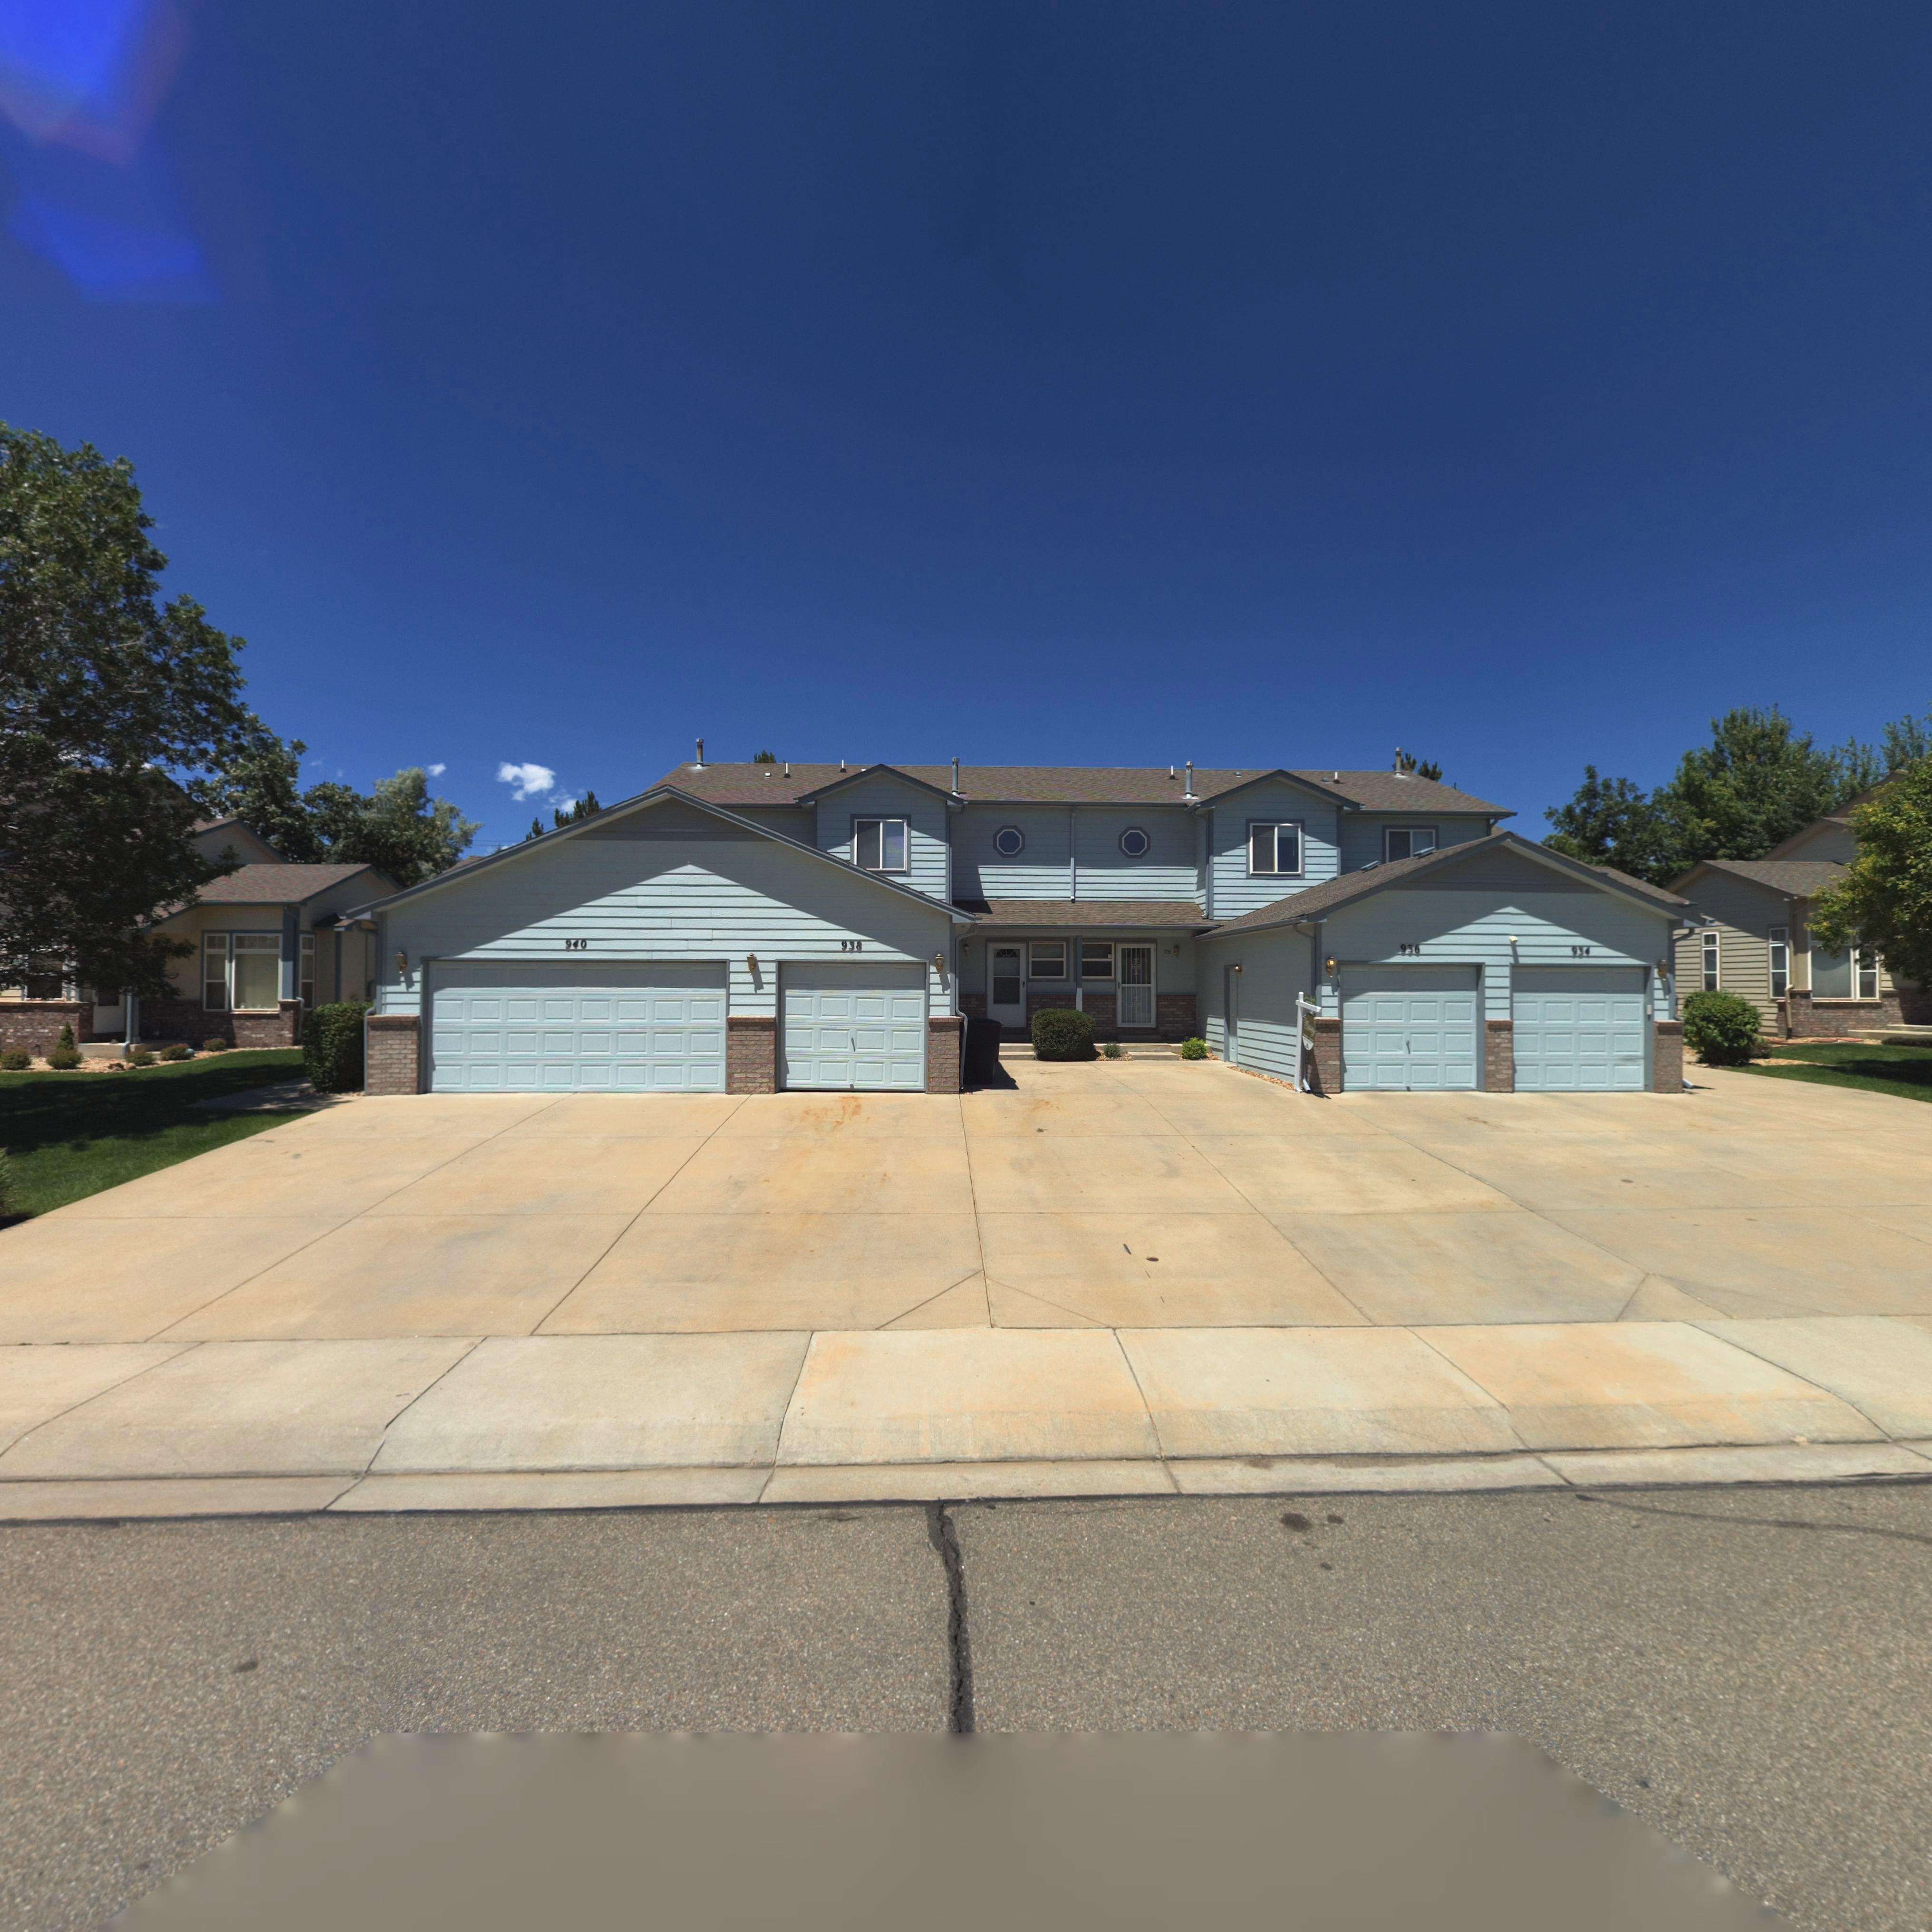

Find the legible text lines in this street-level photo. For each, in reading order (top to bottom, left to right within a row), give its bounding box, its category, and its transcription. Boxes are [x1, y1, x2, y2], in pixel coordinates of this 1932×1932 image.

[564, 938, 587, 949] StreetNumber: 940
[840, 940, 862, 950] StreetNumber: 938
[1163, 948, 1171, 954] StreetNumber: 936
[1400, 943, 1420, 954] StreetNumber: 936
[1571, 945, 1592, 956] StreetNumber: 934